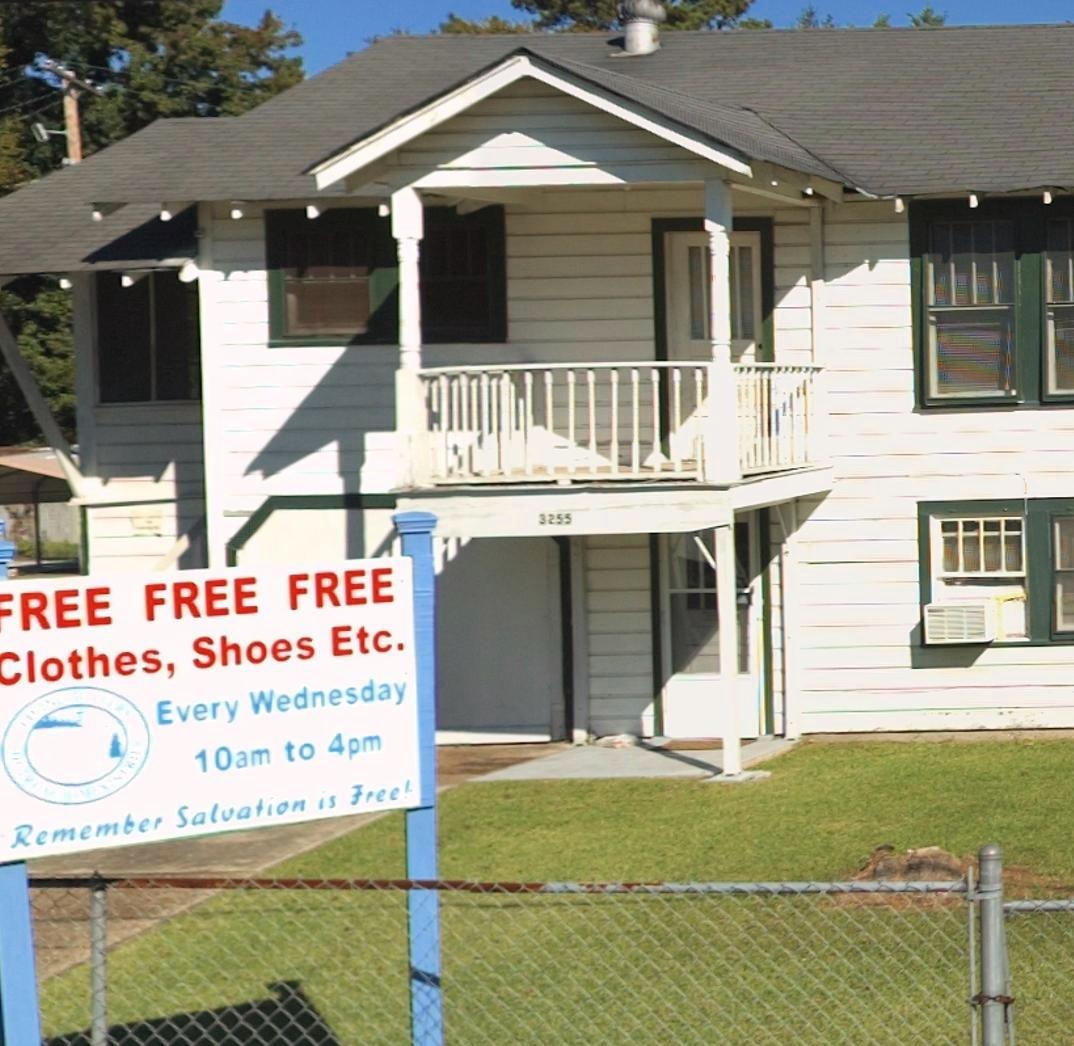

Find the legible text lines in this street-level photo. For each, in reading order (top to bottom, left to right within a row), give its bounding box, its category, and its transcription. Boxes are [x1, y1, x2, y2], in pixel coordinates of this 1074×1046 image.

[536, 510, 574, 528] StreetNumber: 3255
[17, 563, 397, 635] None: REE FREE FREE
[23, 620, 410, 688] None: lothes, shoes Etc.
[154, 674, 412, 728] None: Every Wednesday
[190, 728, 386, 777] None: 10am to 4pm
[4, 774, 413, 854] None: Remember Salvation is Free!